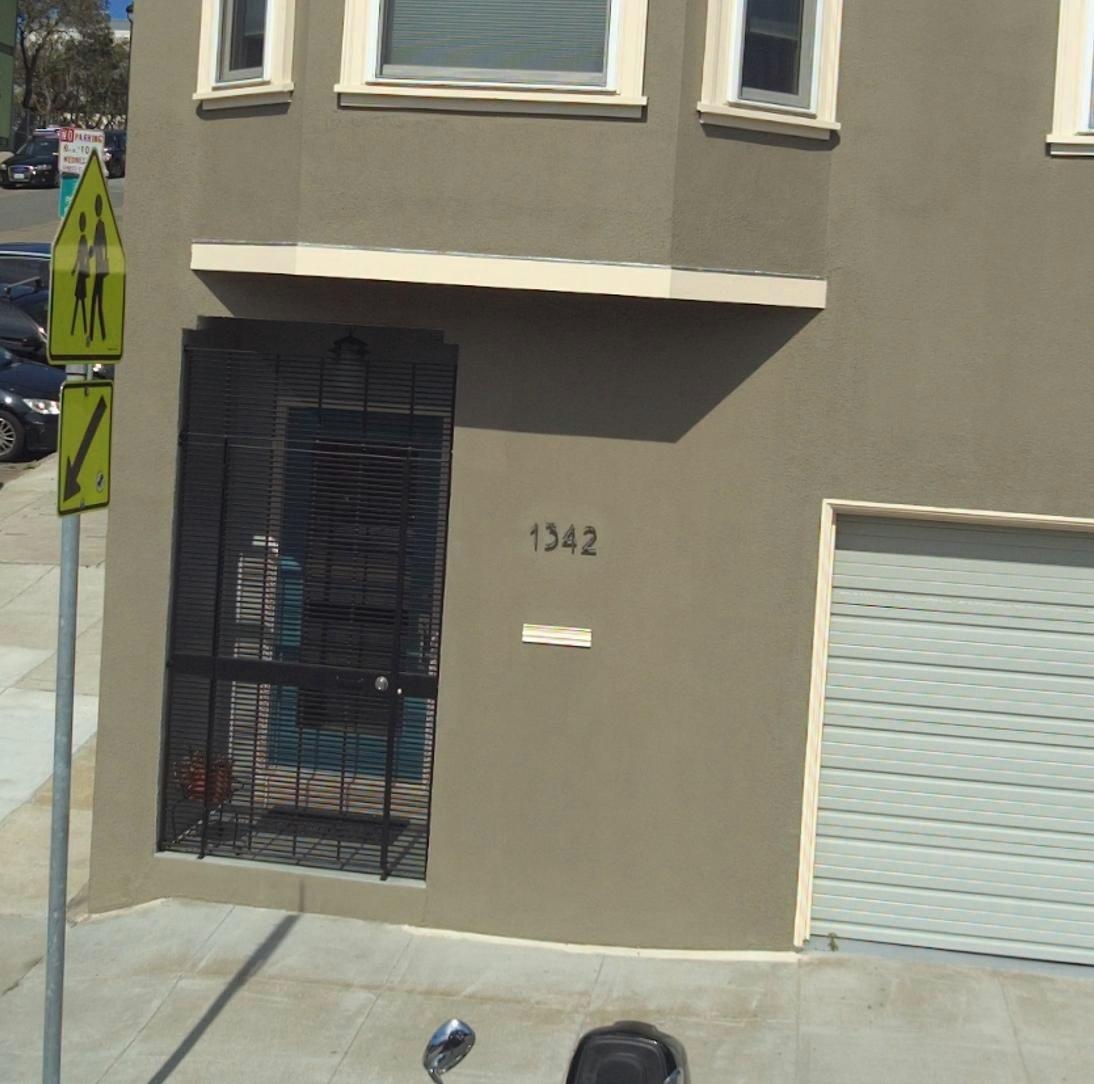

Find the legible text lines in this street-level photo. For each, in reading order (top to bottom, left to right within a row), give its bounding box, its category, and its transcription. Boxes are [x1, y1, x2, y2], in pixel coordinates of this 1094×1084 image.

[59, 128, 75, 142] None: NO
[79, 144, 91, 156] None: 10
[528, 520, 599, 555] StreetNumber: 1342